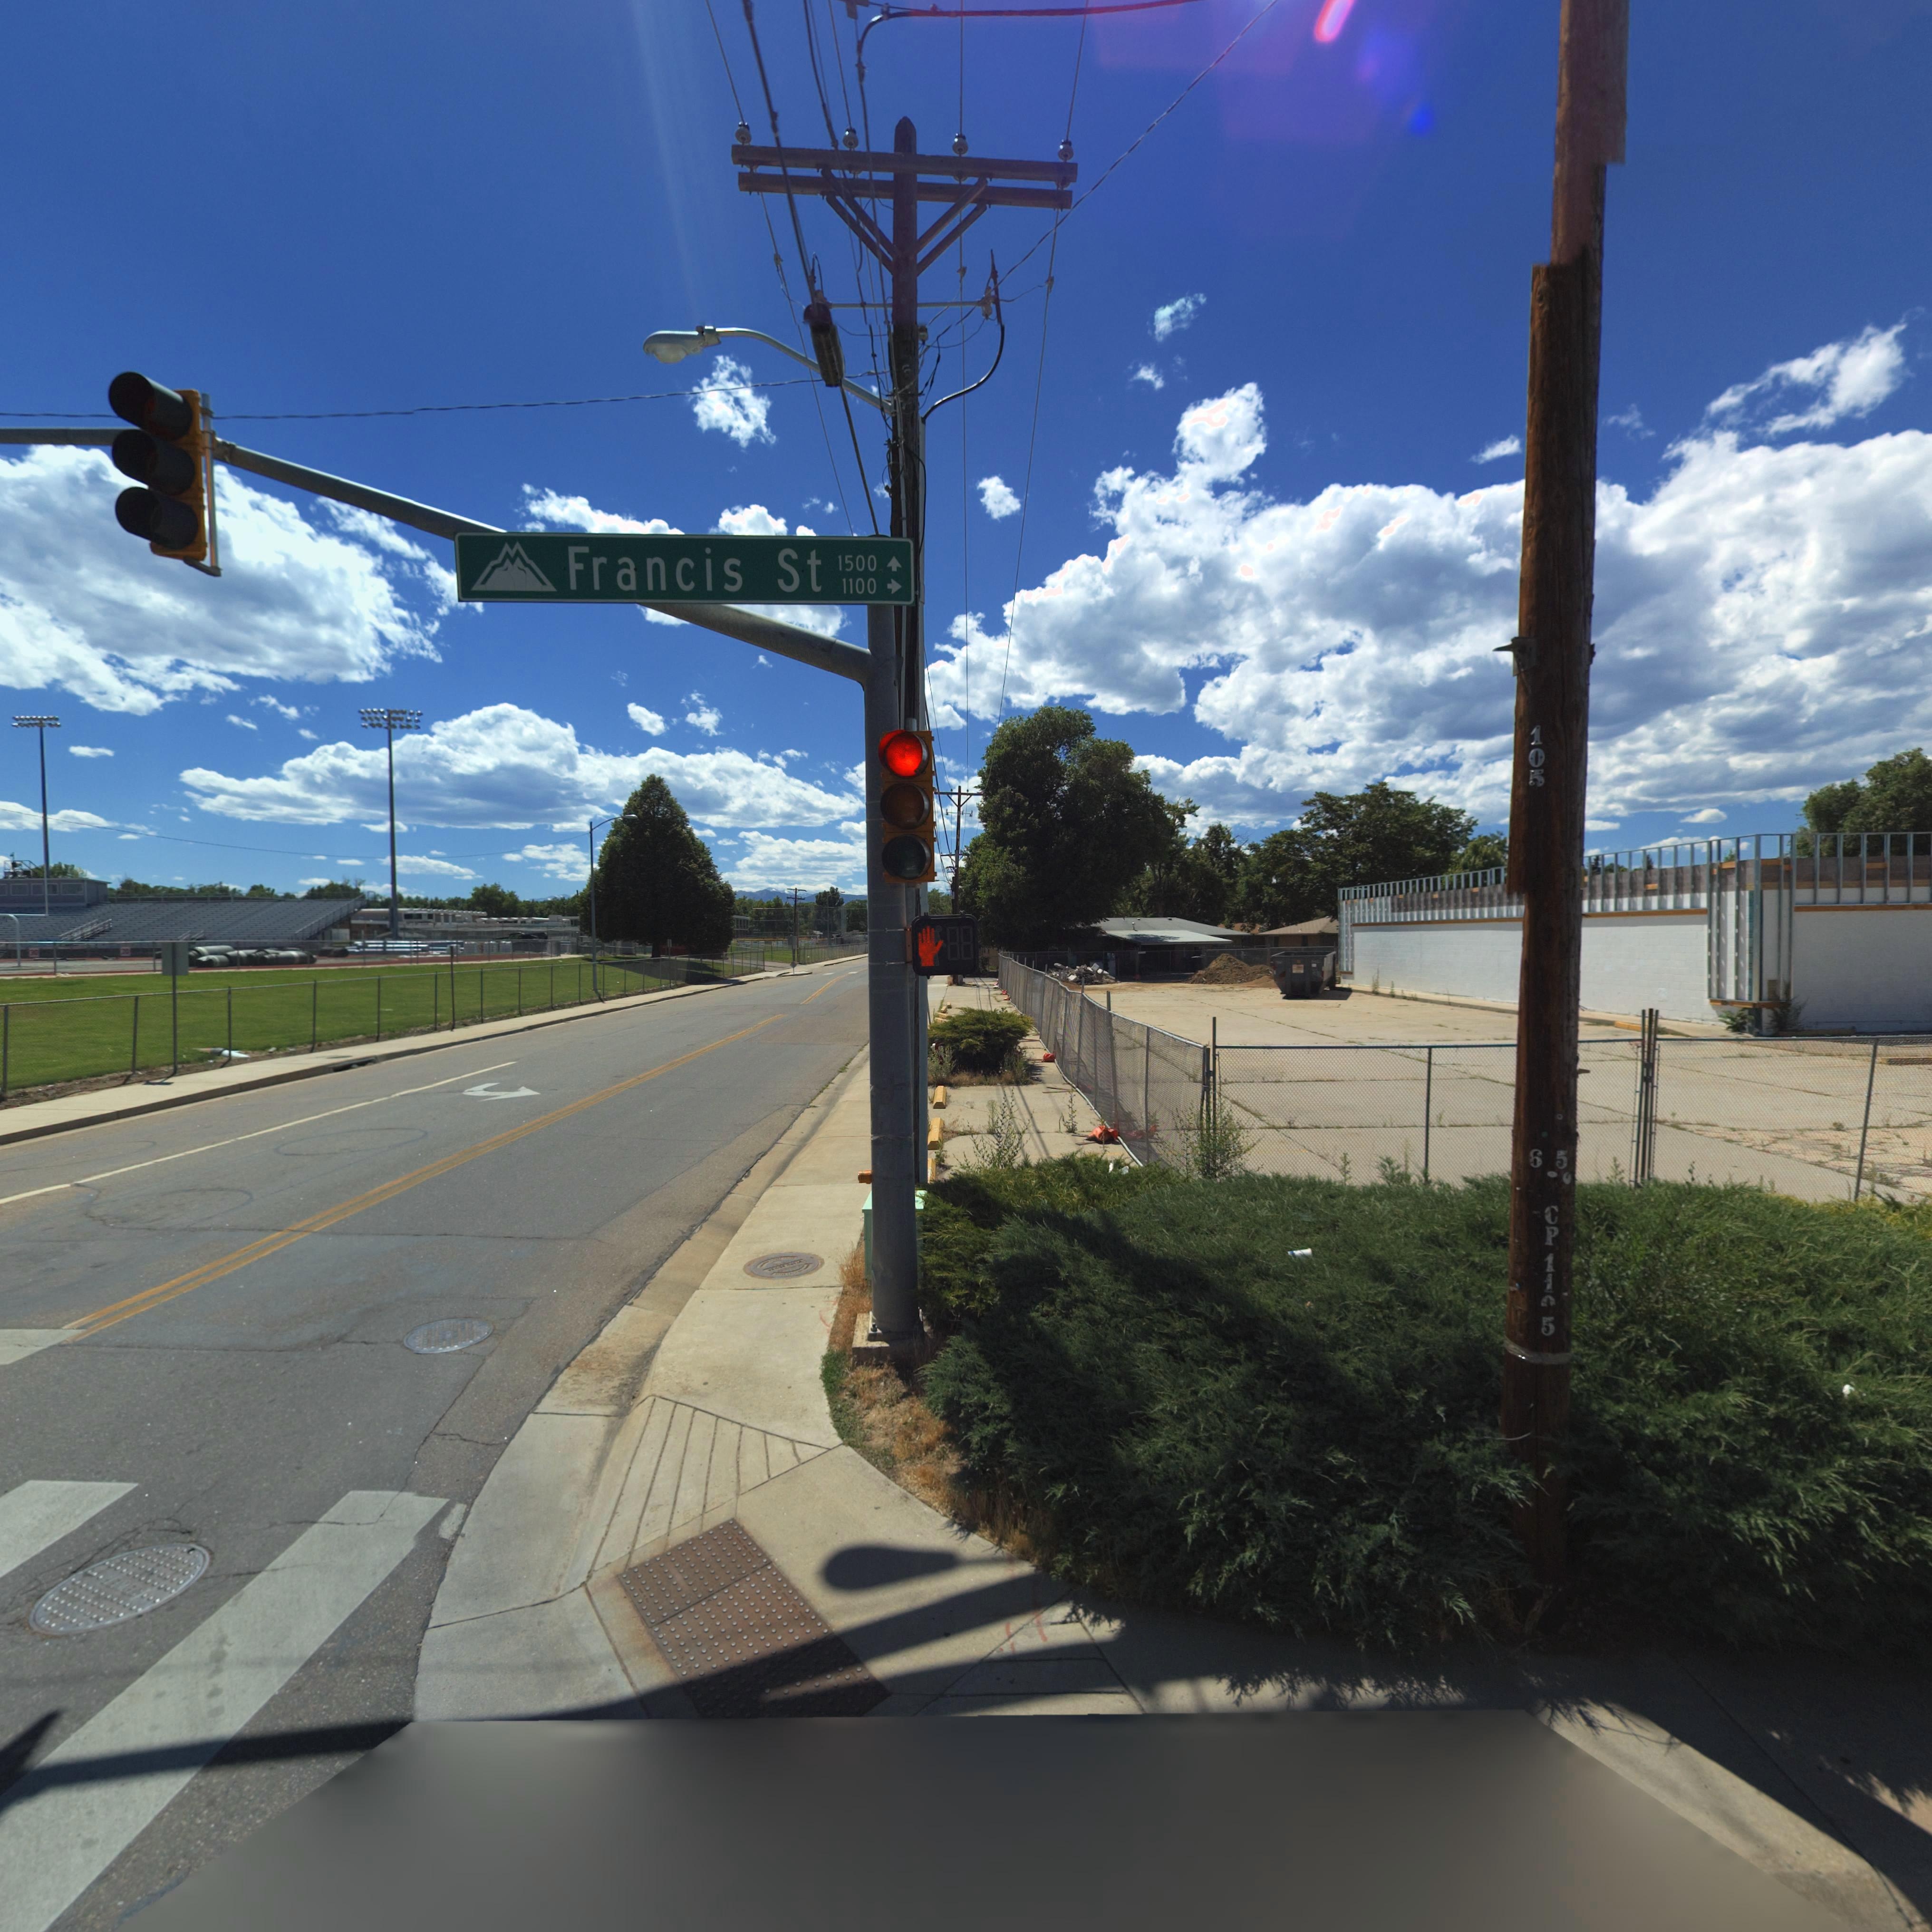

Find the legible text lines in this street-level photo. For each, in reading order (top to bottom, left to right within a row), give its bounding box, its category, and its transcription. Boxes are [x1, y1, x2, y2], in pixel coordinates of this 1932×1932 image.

[565, 542, 825, 595] StreetName: Francis St
[836, 553, 878, 573] StreetNumberRange: 1500
[840, 577, 904, 596] StreetNumberRange: 1100 ->